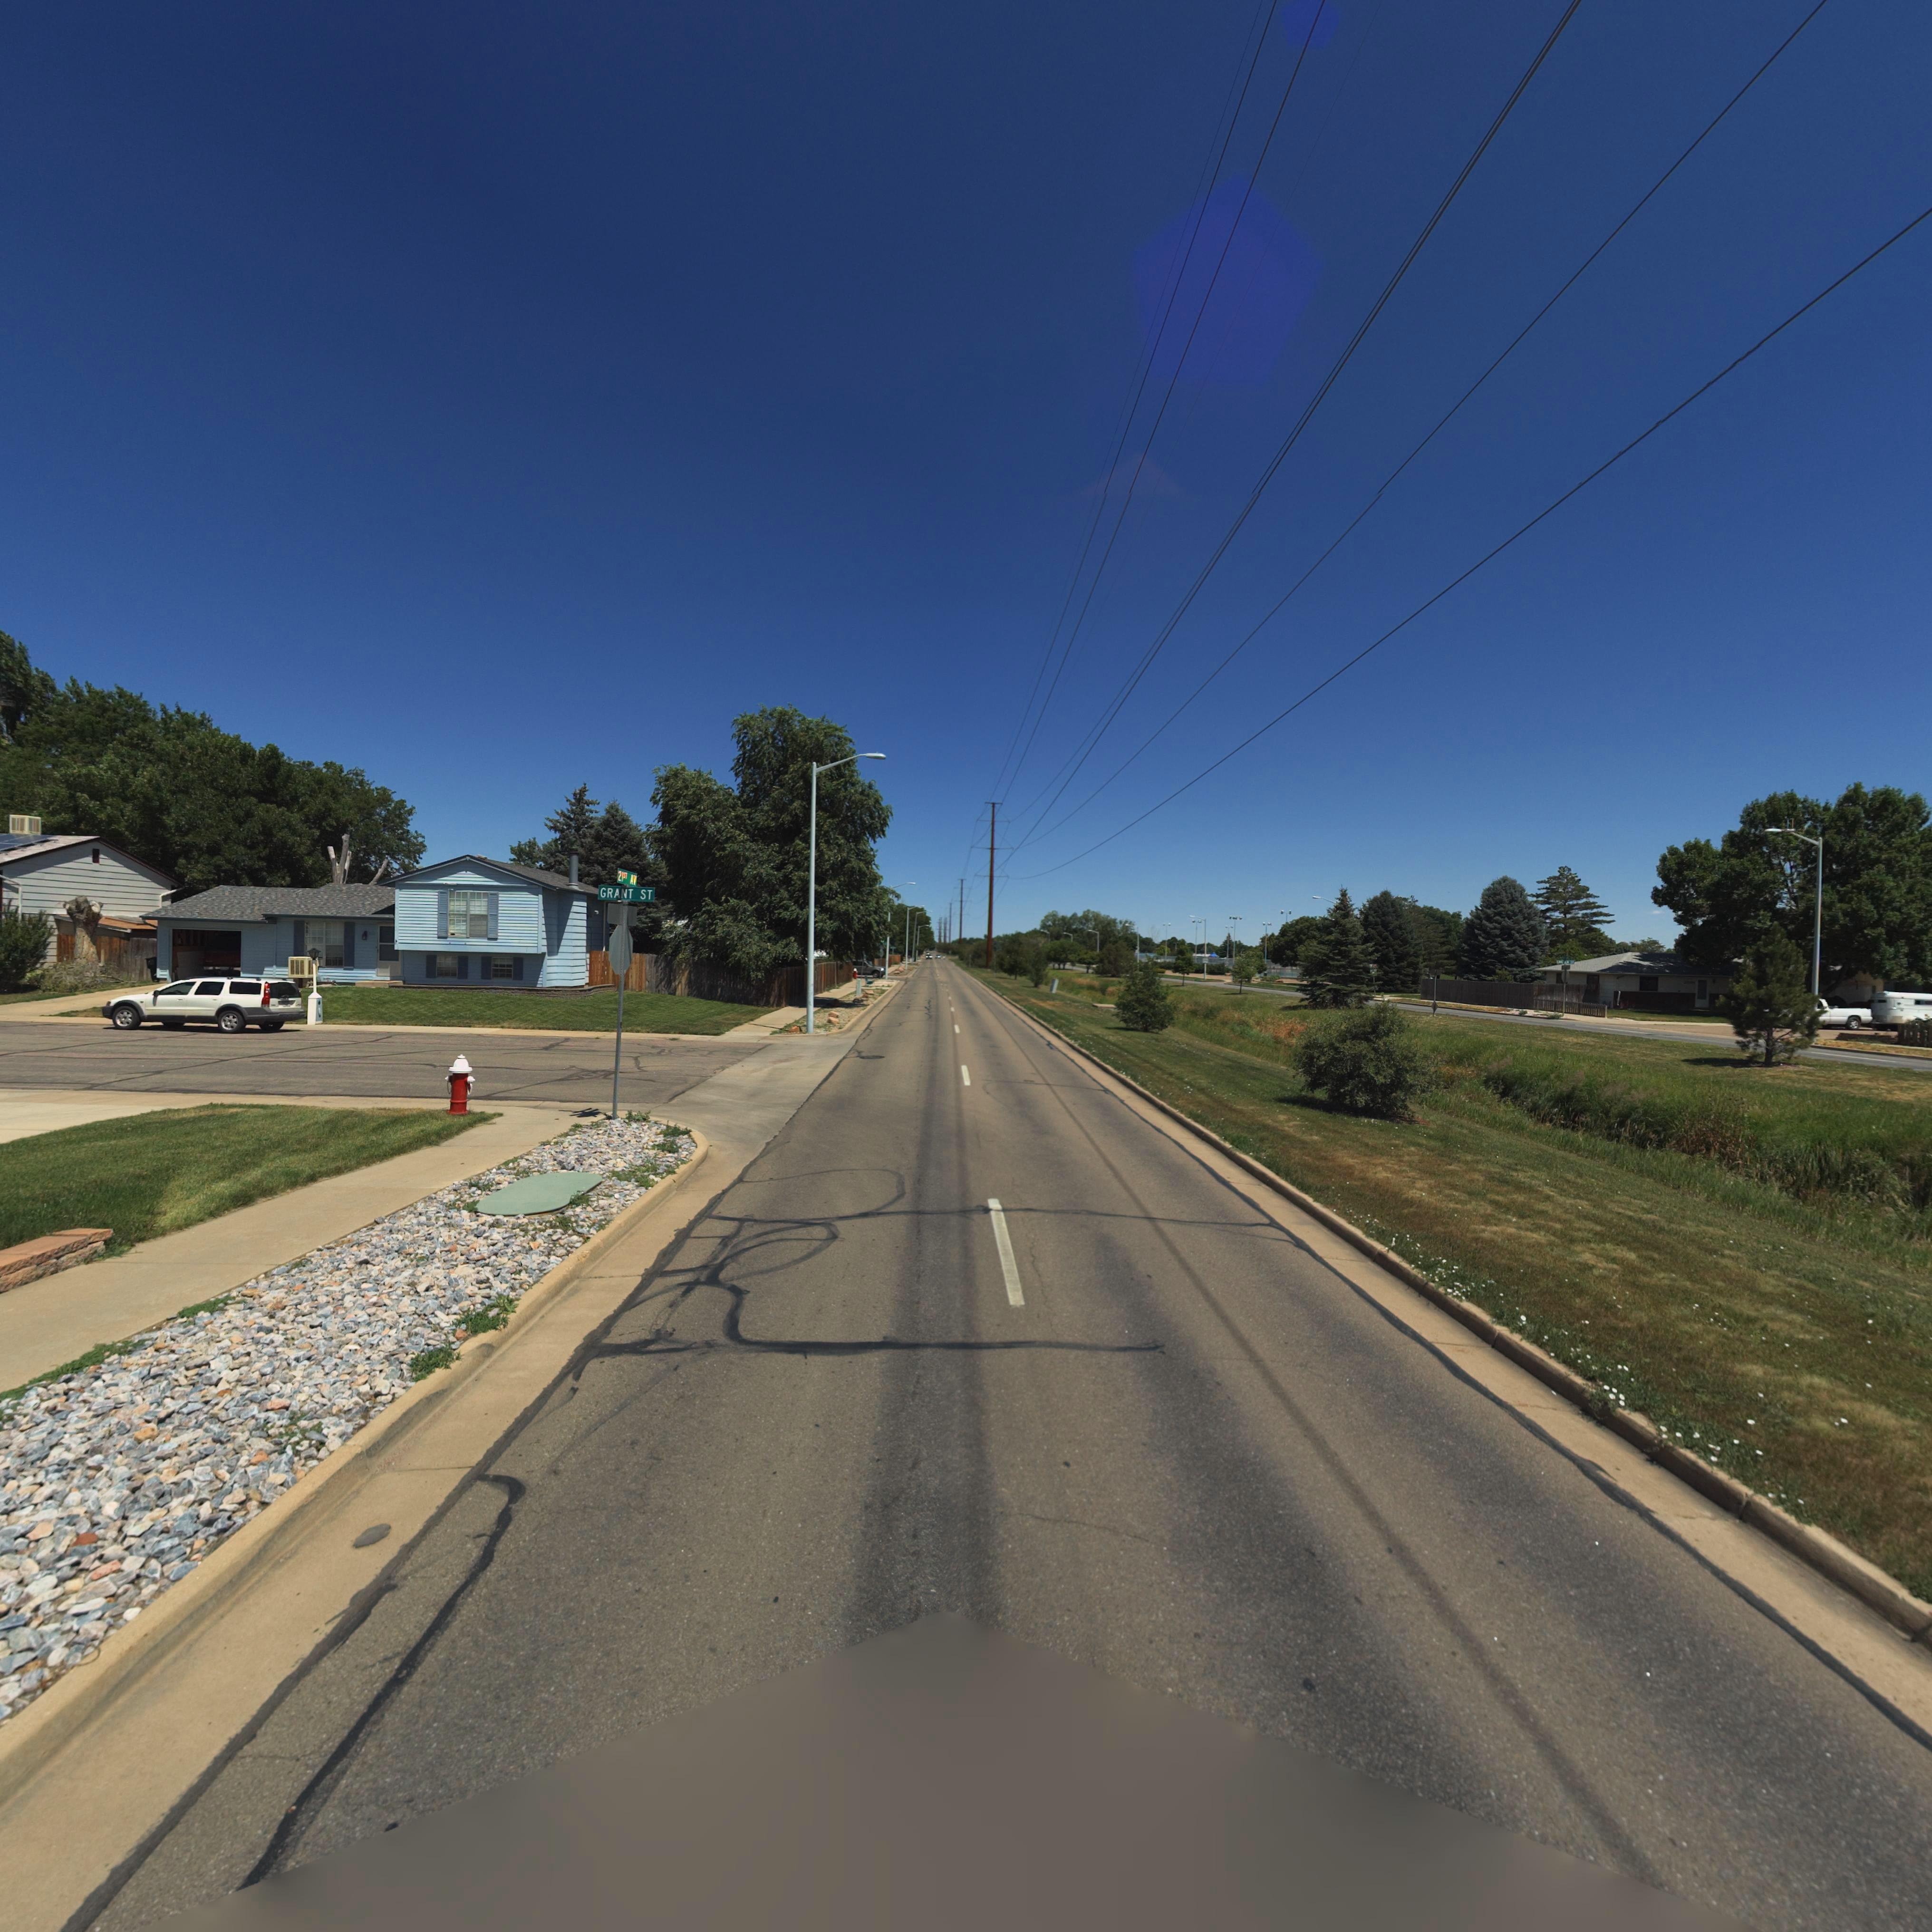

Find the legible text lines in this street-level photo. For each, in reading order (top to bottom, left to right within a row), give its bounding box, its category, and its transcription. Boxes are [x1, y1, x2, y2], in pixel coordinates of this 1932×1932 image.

[618, 870, 637, 885] StreetName: 21ST AV
[600, 887, 653, 899] StreetName: GRANT ST